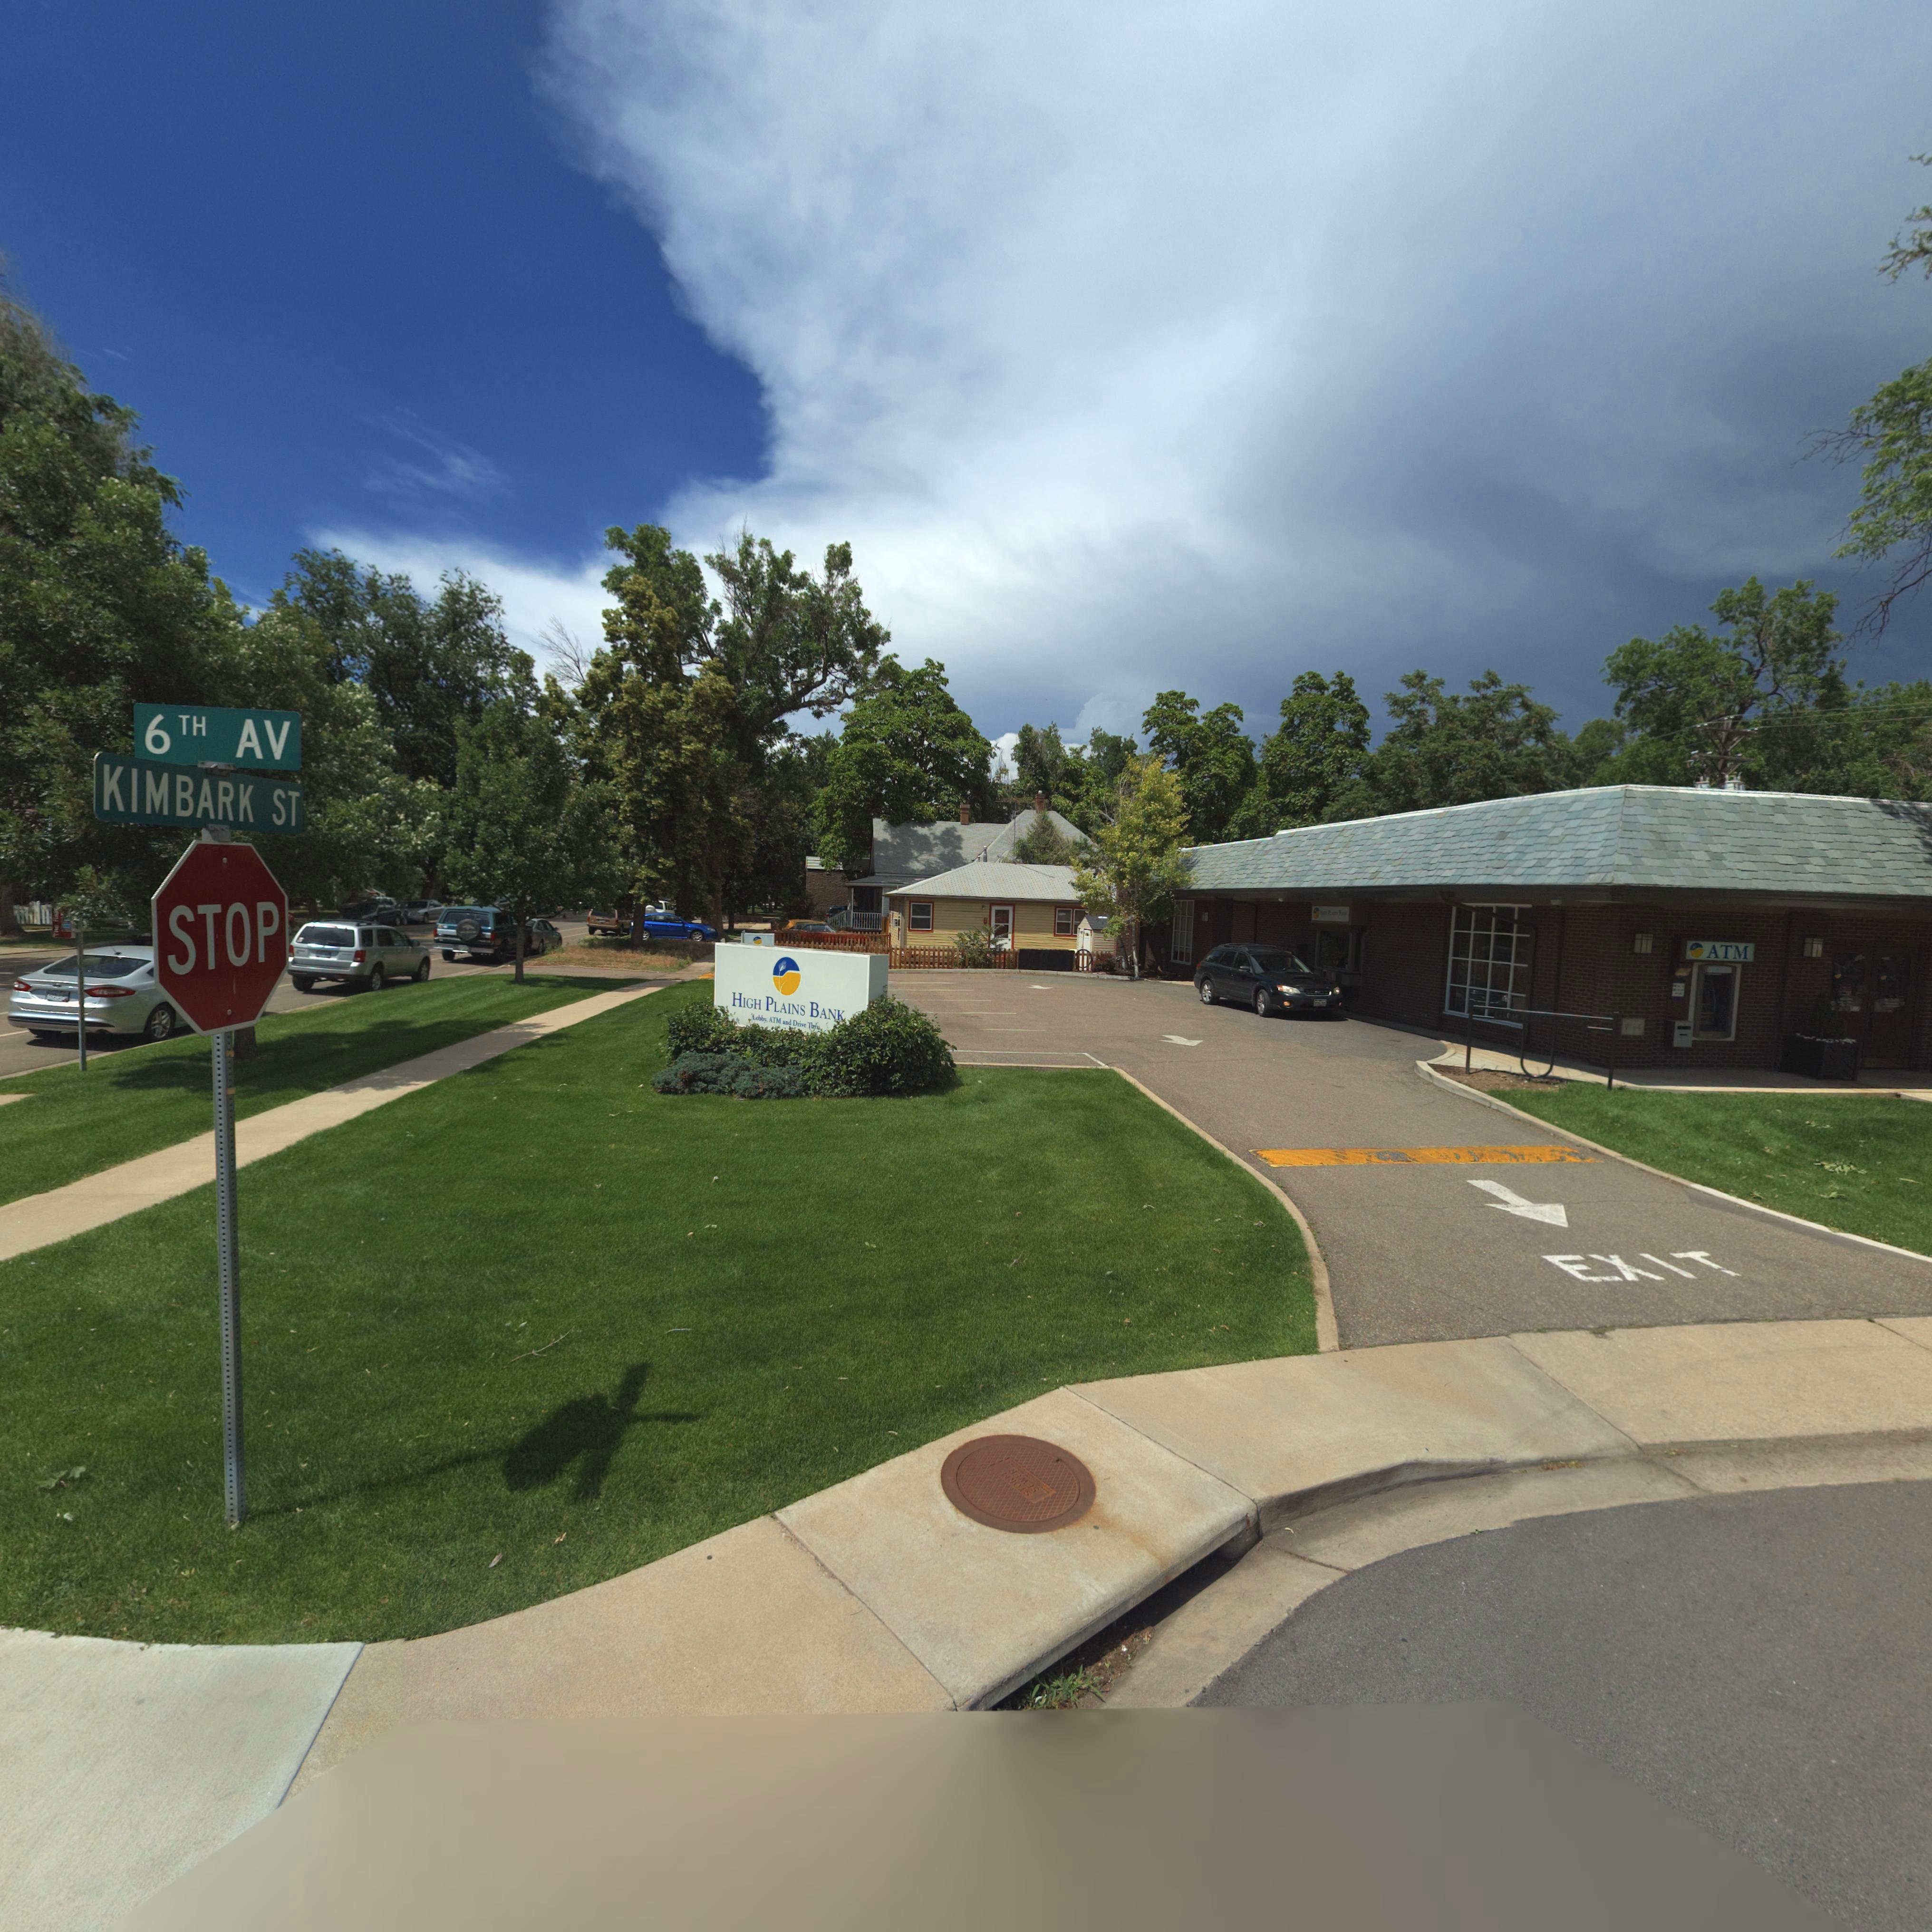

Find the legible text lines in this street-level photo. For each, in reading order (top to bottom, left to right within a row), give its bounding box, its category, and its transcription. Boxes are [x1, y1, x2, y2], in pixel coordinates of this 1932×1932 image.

[141, 709, 295, 763] StreetName: 6TH AV
[103, 763, 300, 827] StreetName: KIMBARK ST
[729, 990, 848, 1021] BusinessName: HIGH PLANES BANK